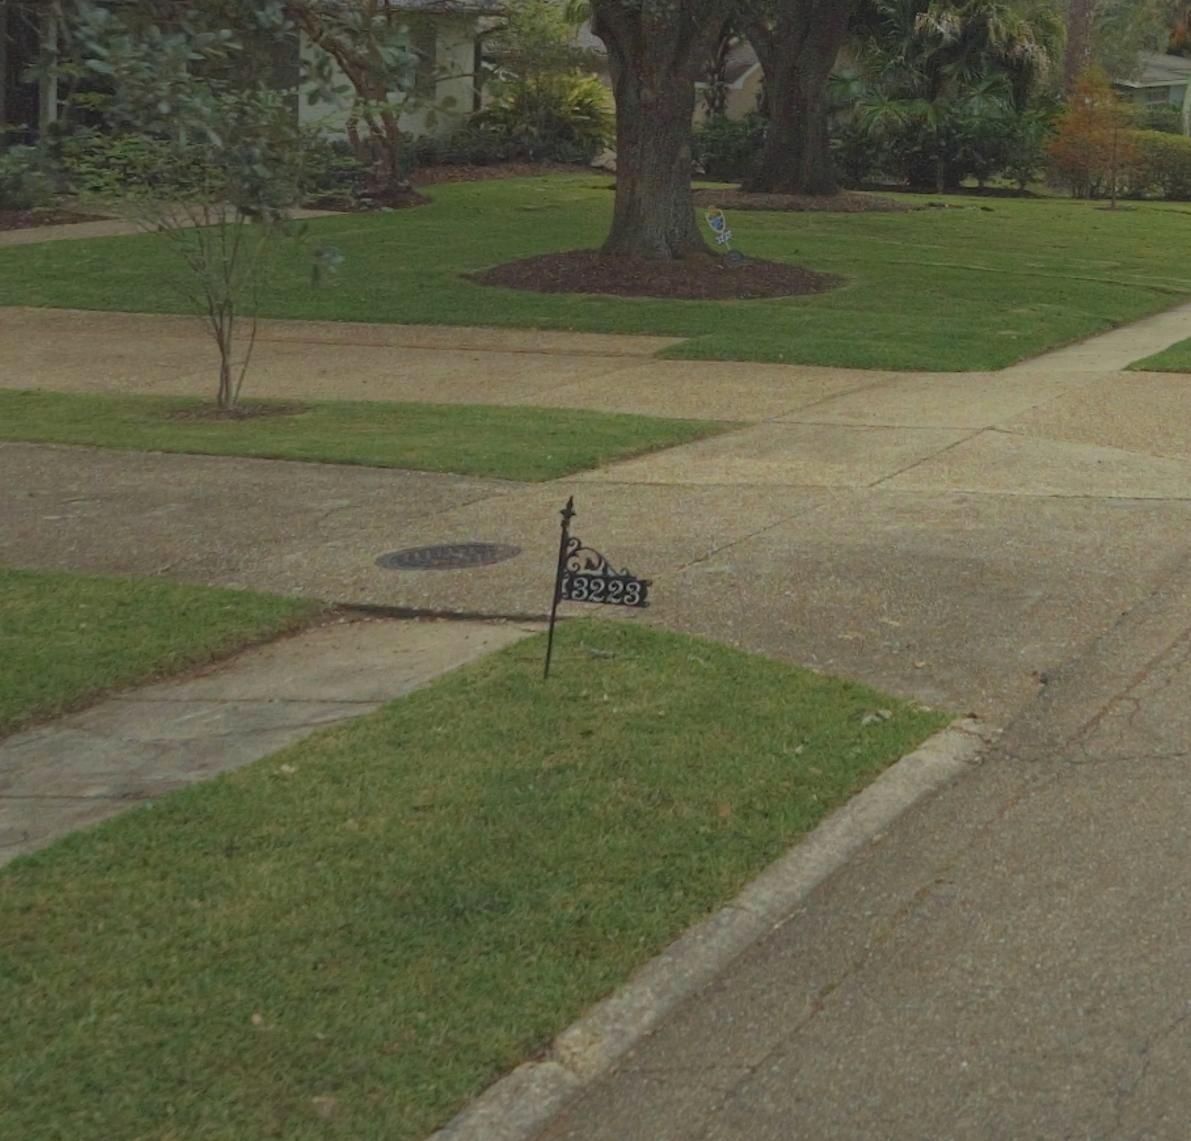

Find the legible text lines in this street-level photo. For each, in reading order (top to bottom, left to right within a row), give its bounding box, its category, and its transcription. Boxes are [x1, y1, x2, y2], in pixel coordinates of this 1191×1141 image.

[570, 576, 643, 607] StreetNumber: 3223